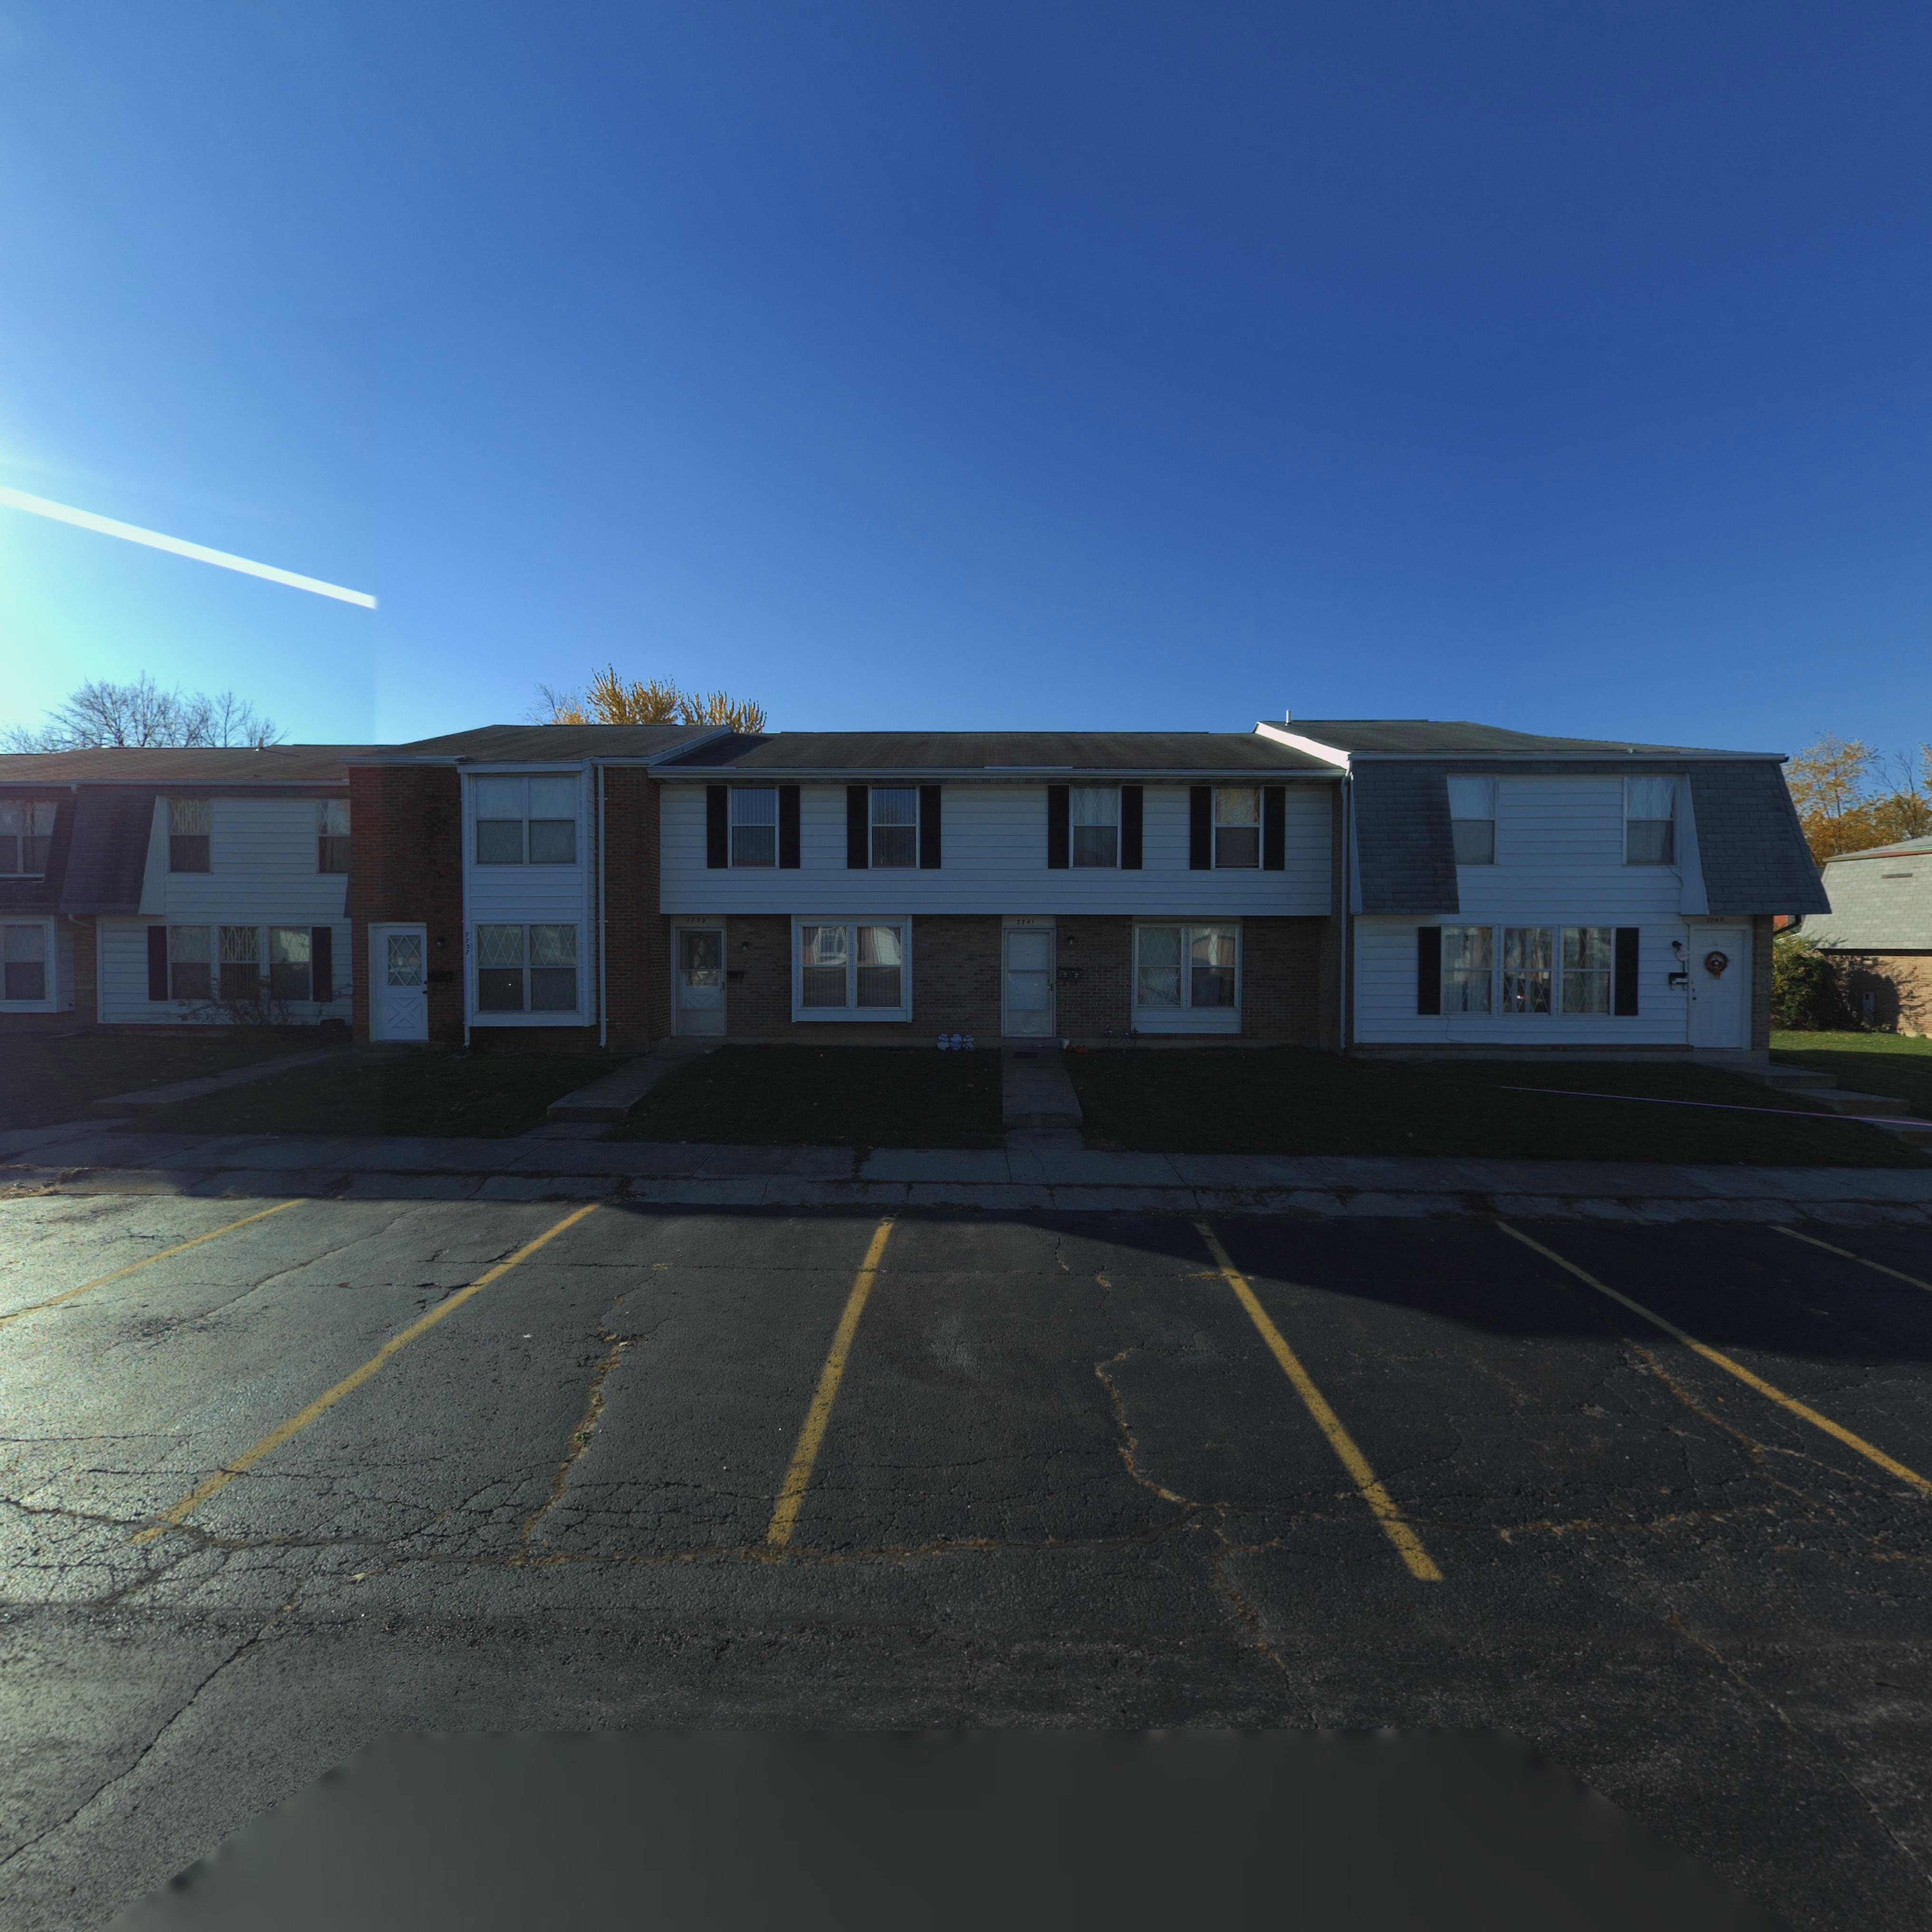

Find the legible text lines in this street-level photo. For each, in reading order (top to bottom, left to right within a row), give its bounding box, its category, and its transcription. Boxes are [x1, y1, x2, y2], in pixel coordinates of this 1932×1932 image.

[686, 917, 706, 924] StreetNumber: 7739
[1016, 918, 1034, 925] StreetNumber: 7741
[1705, 917, 1725, 923] StreetNumber: 7743
[464, 931, 470, 956] StreetNumber: 7737